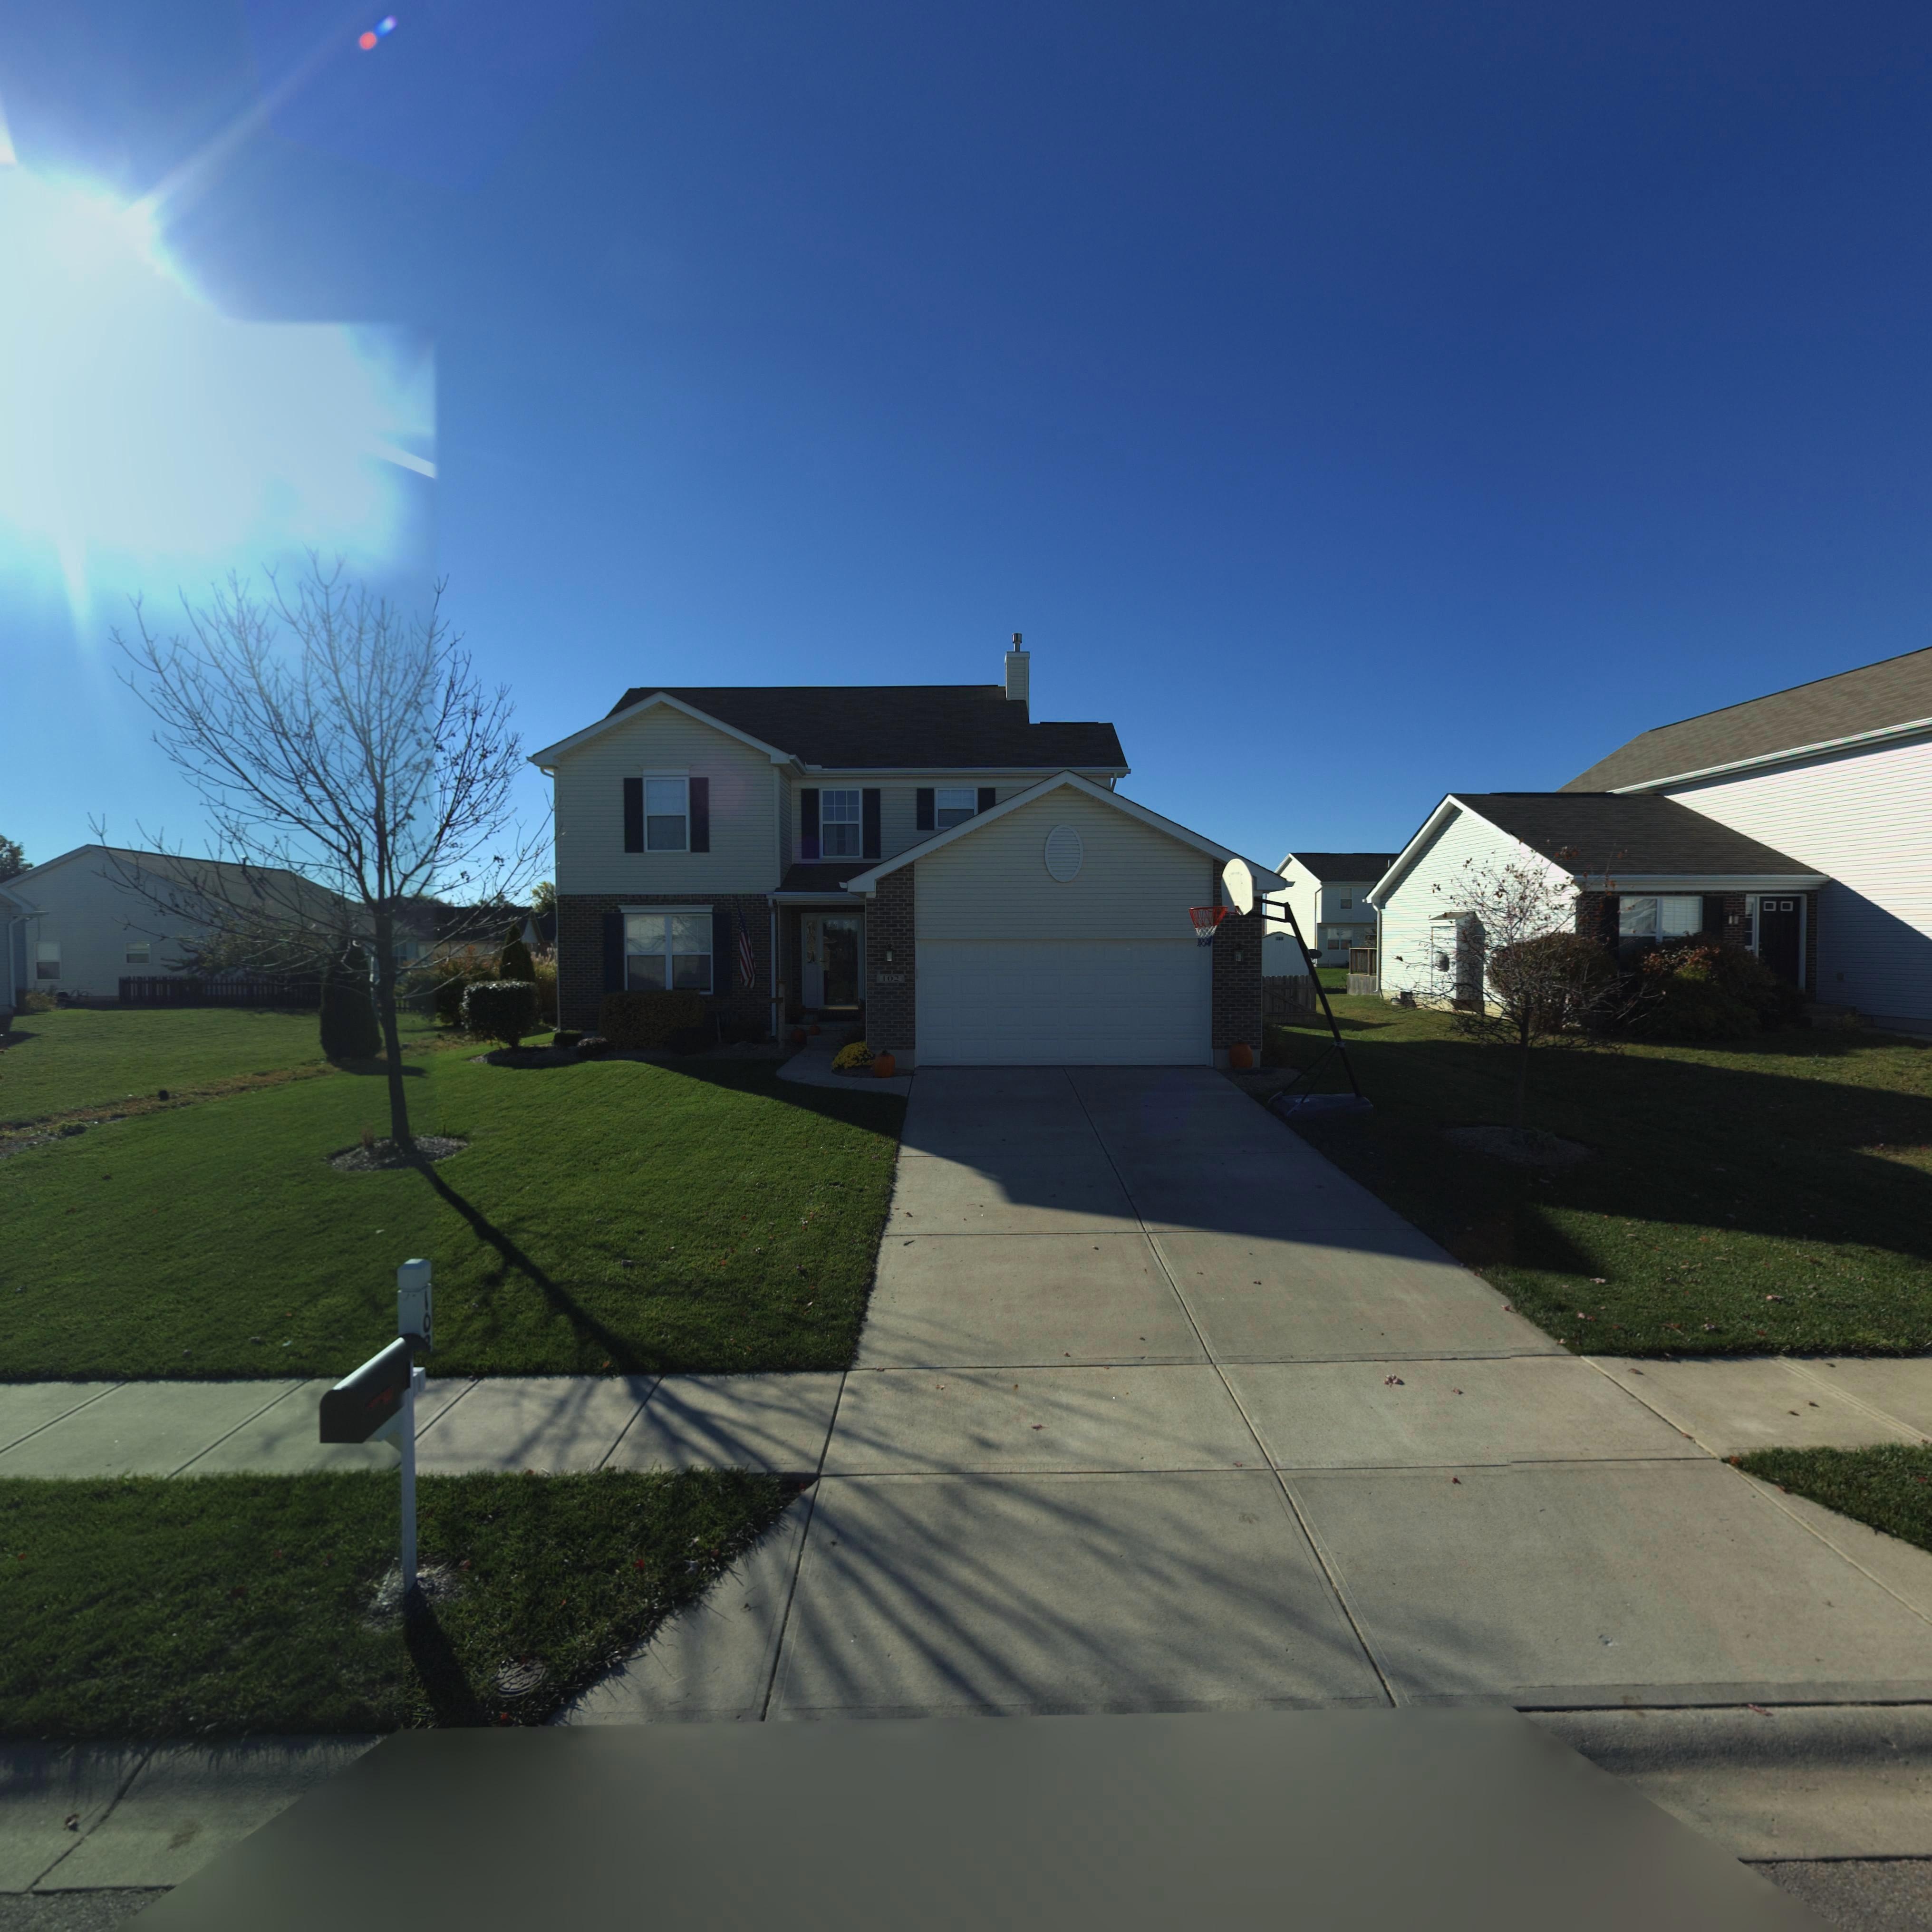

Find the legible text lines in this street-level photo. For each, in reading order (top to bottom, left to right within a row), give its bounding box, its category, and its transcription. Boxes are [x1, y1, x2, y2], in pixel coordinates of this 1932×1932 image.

[881, 975, 900, 983] StreetNumber: 102
[421, 1289, 433, 1334] StreetNumber: 10